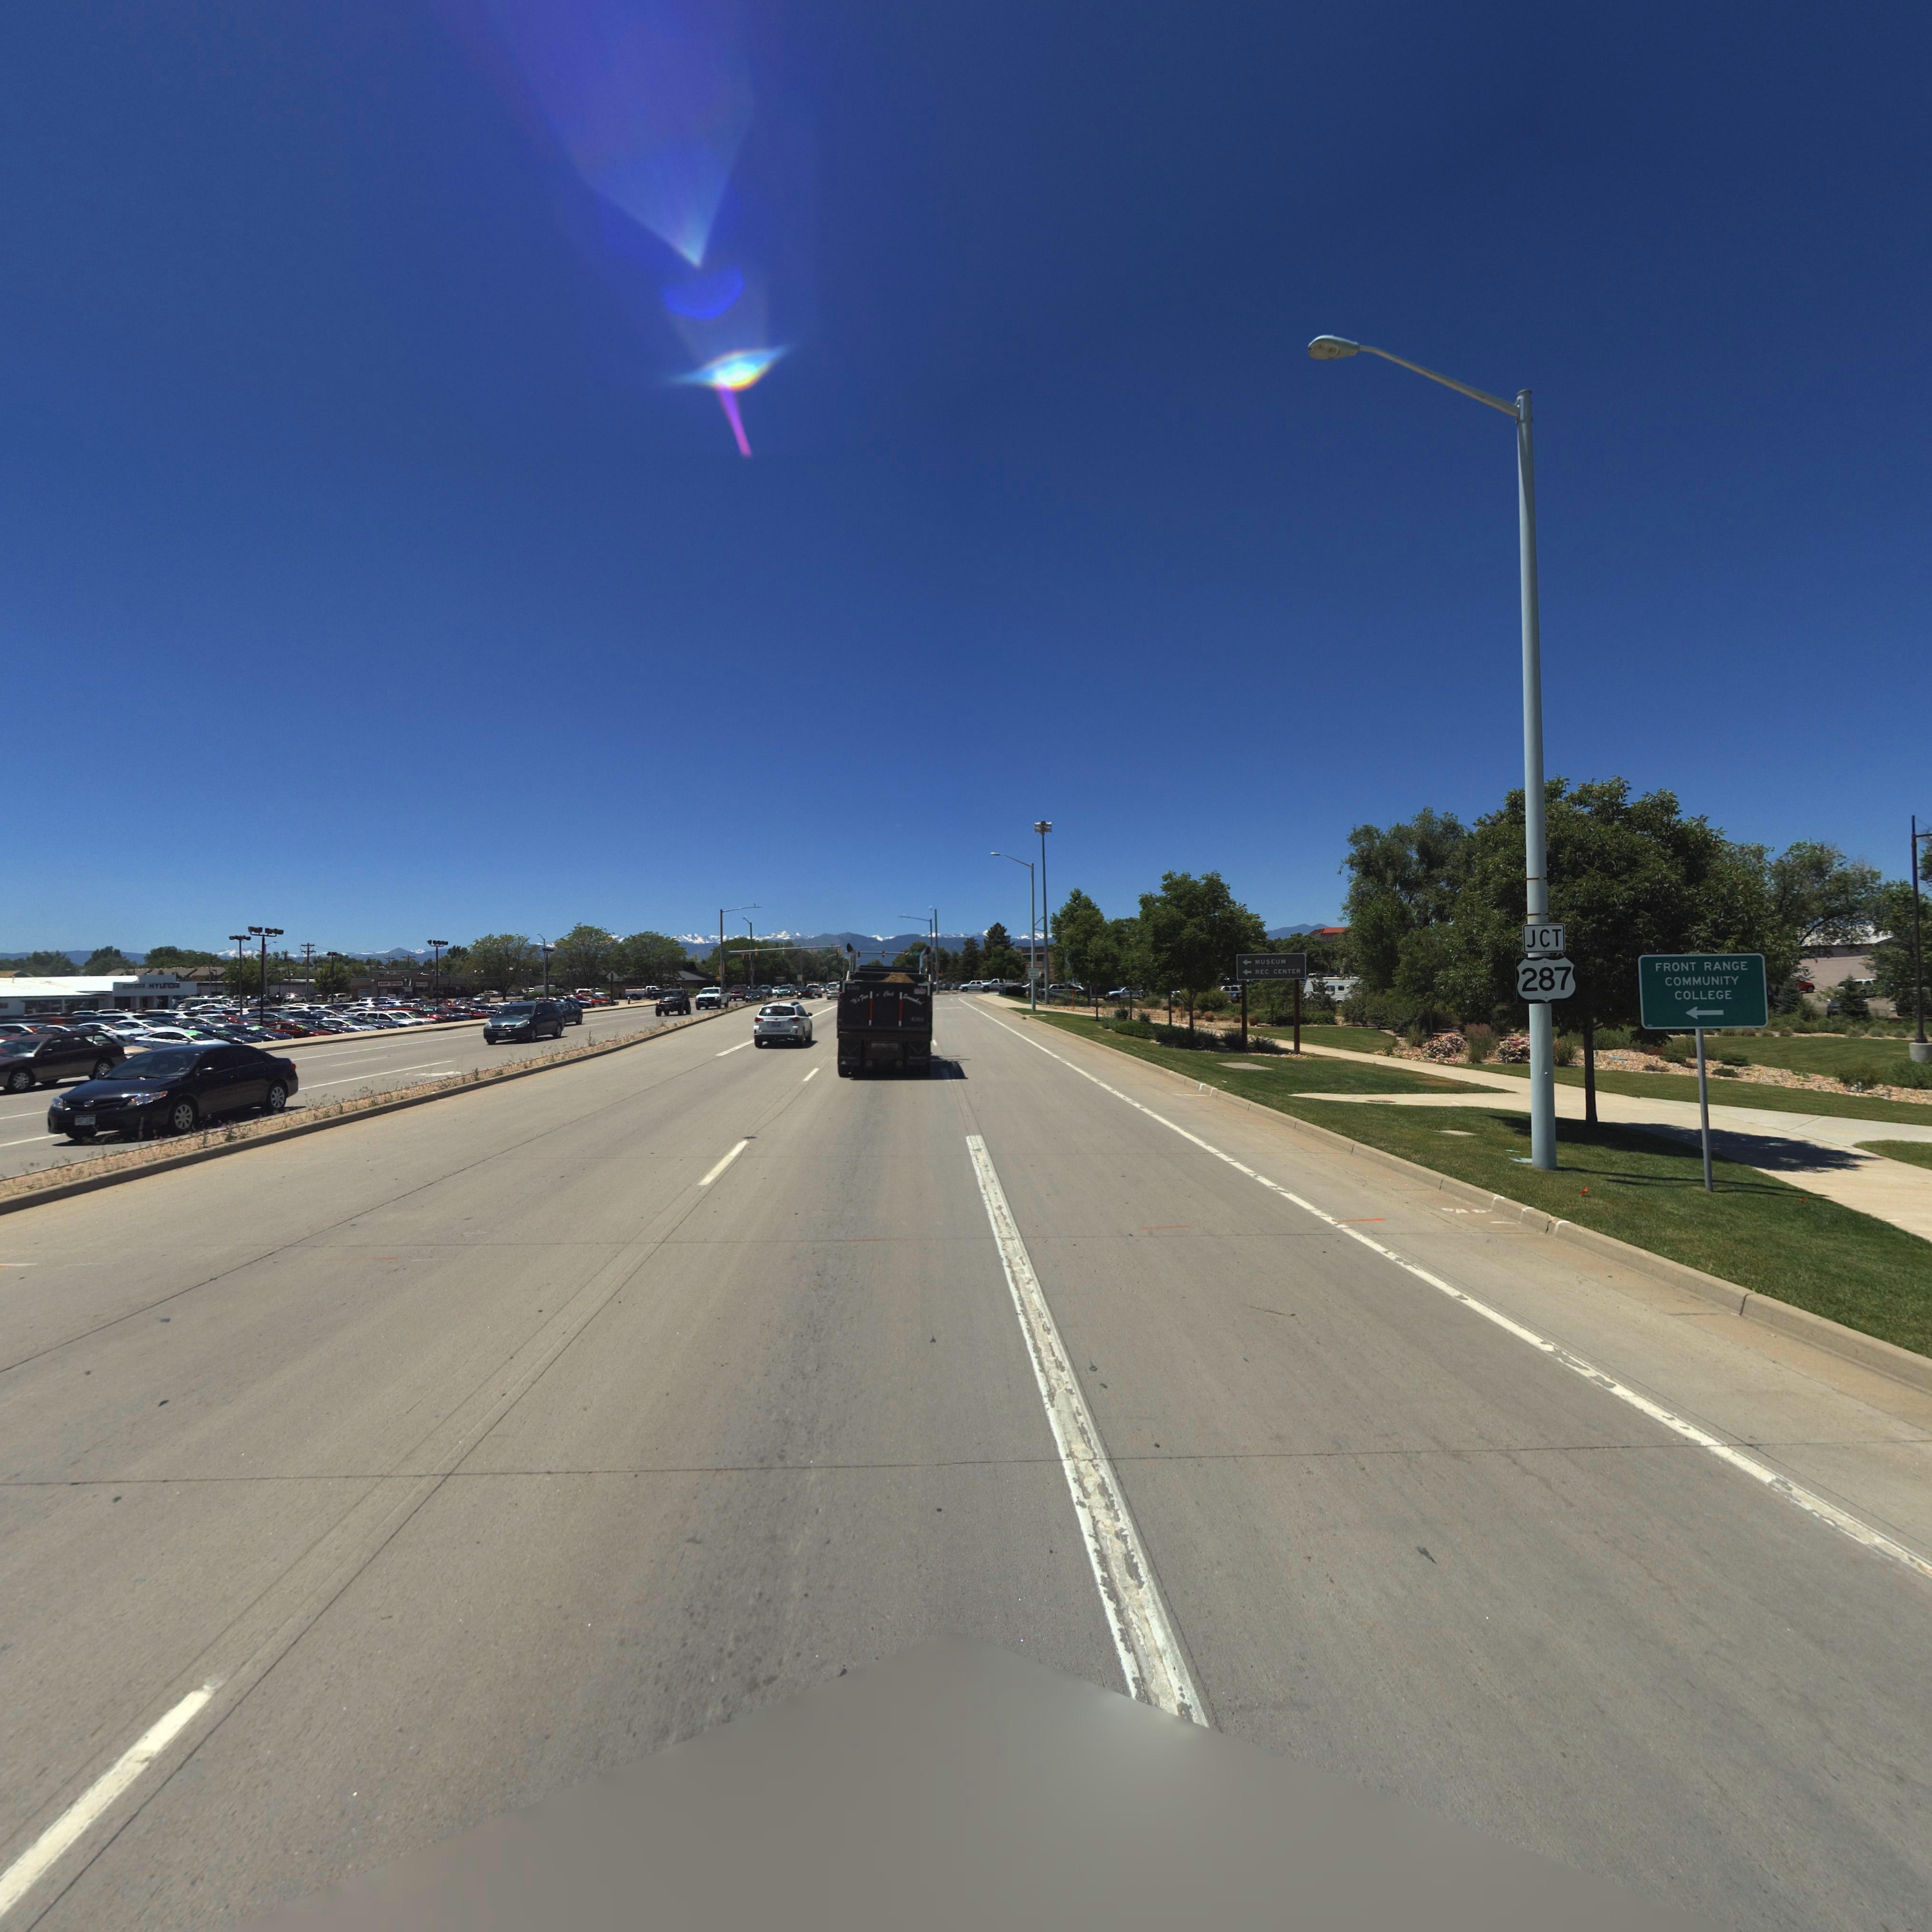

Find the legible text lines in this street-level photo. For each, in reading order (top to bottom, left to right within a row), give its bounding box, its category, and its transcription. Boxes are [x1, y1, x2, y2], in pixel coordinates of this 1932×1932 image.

[122, 983, 145, 989] BusinessName: ****I***N
[149, 982, 180, 989] BusinessName: HYUnDAI